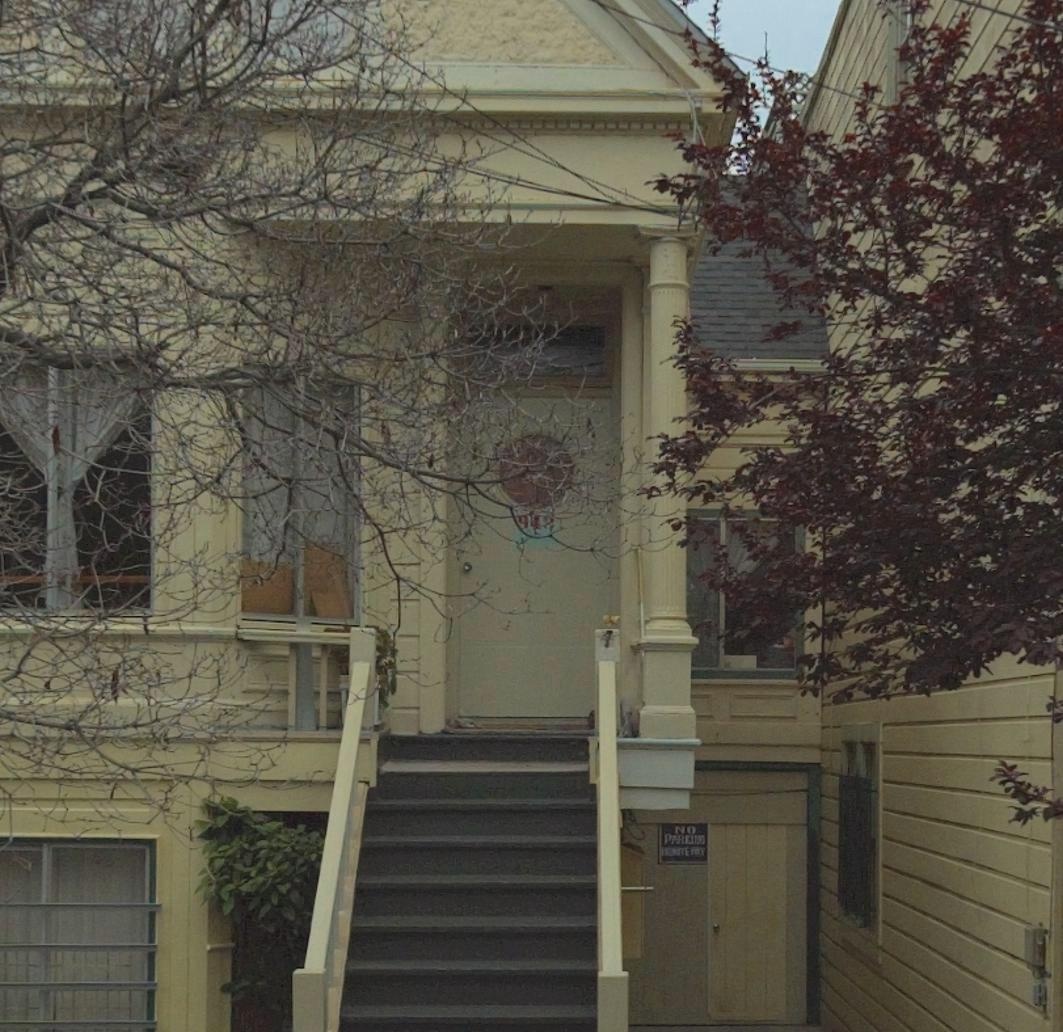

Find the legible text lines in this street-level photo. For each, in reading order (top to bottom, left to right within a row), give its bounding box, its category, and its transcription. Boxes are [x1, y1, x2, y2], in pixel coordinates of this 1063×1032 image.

[517, 514, 556, 531] StreetNumber: 9**
[674, 825, 697, 836] None: NO